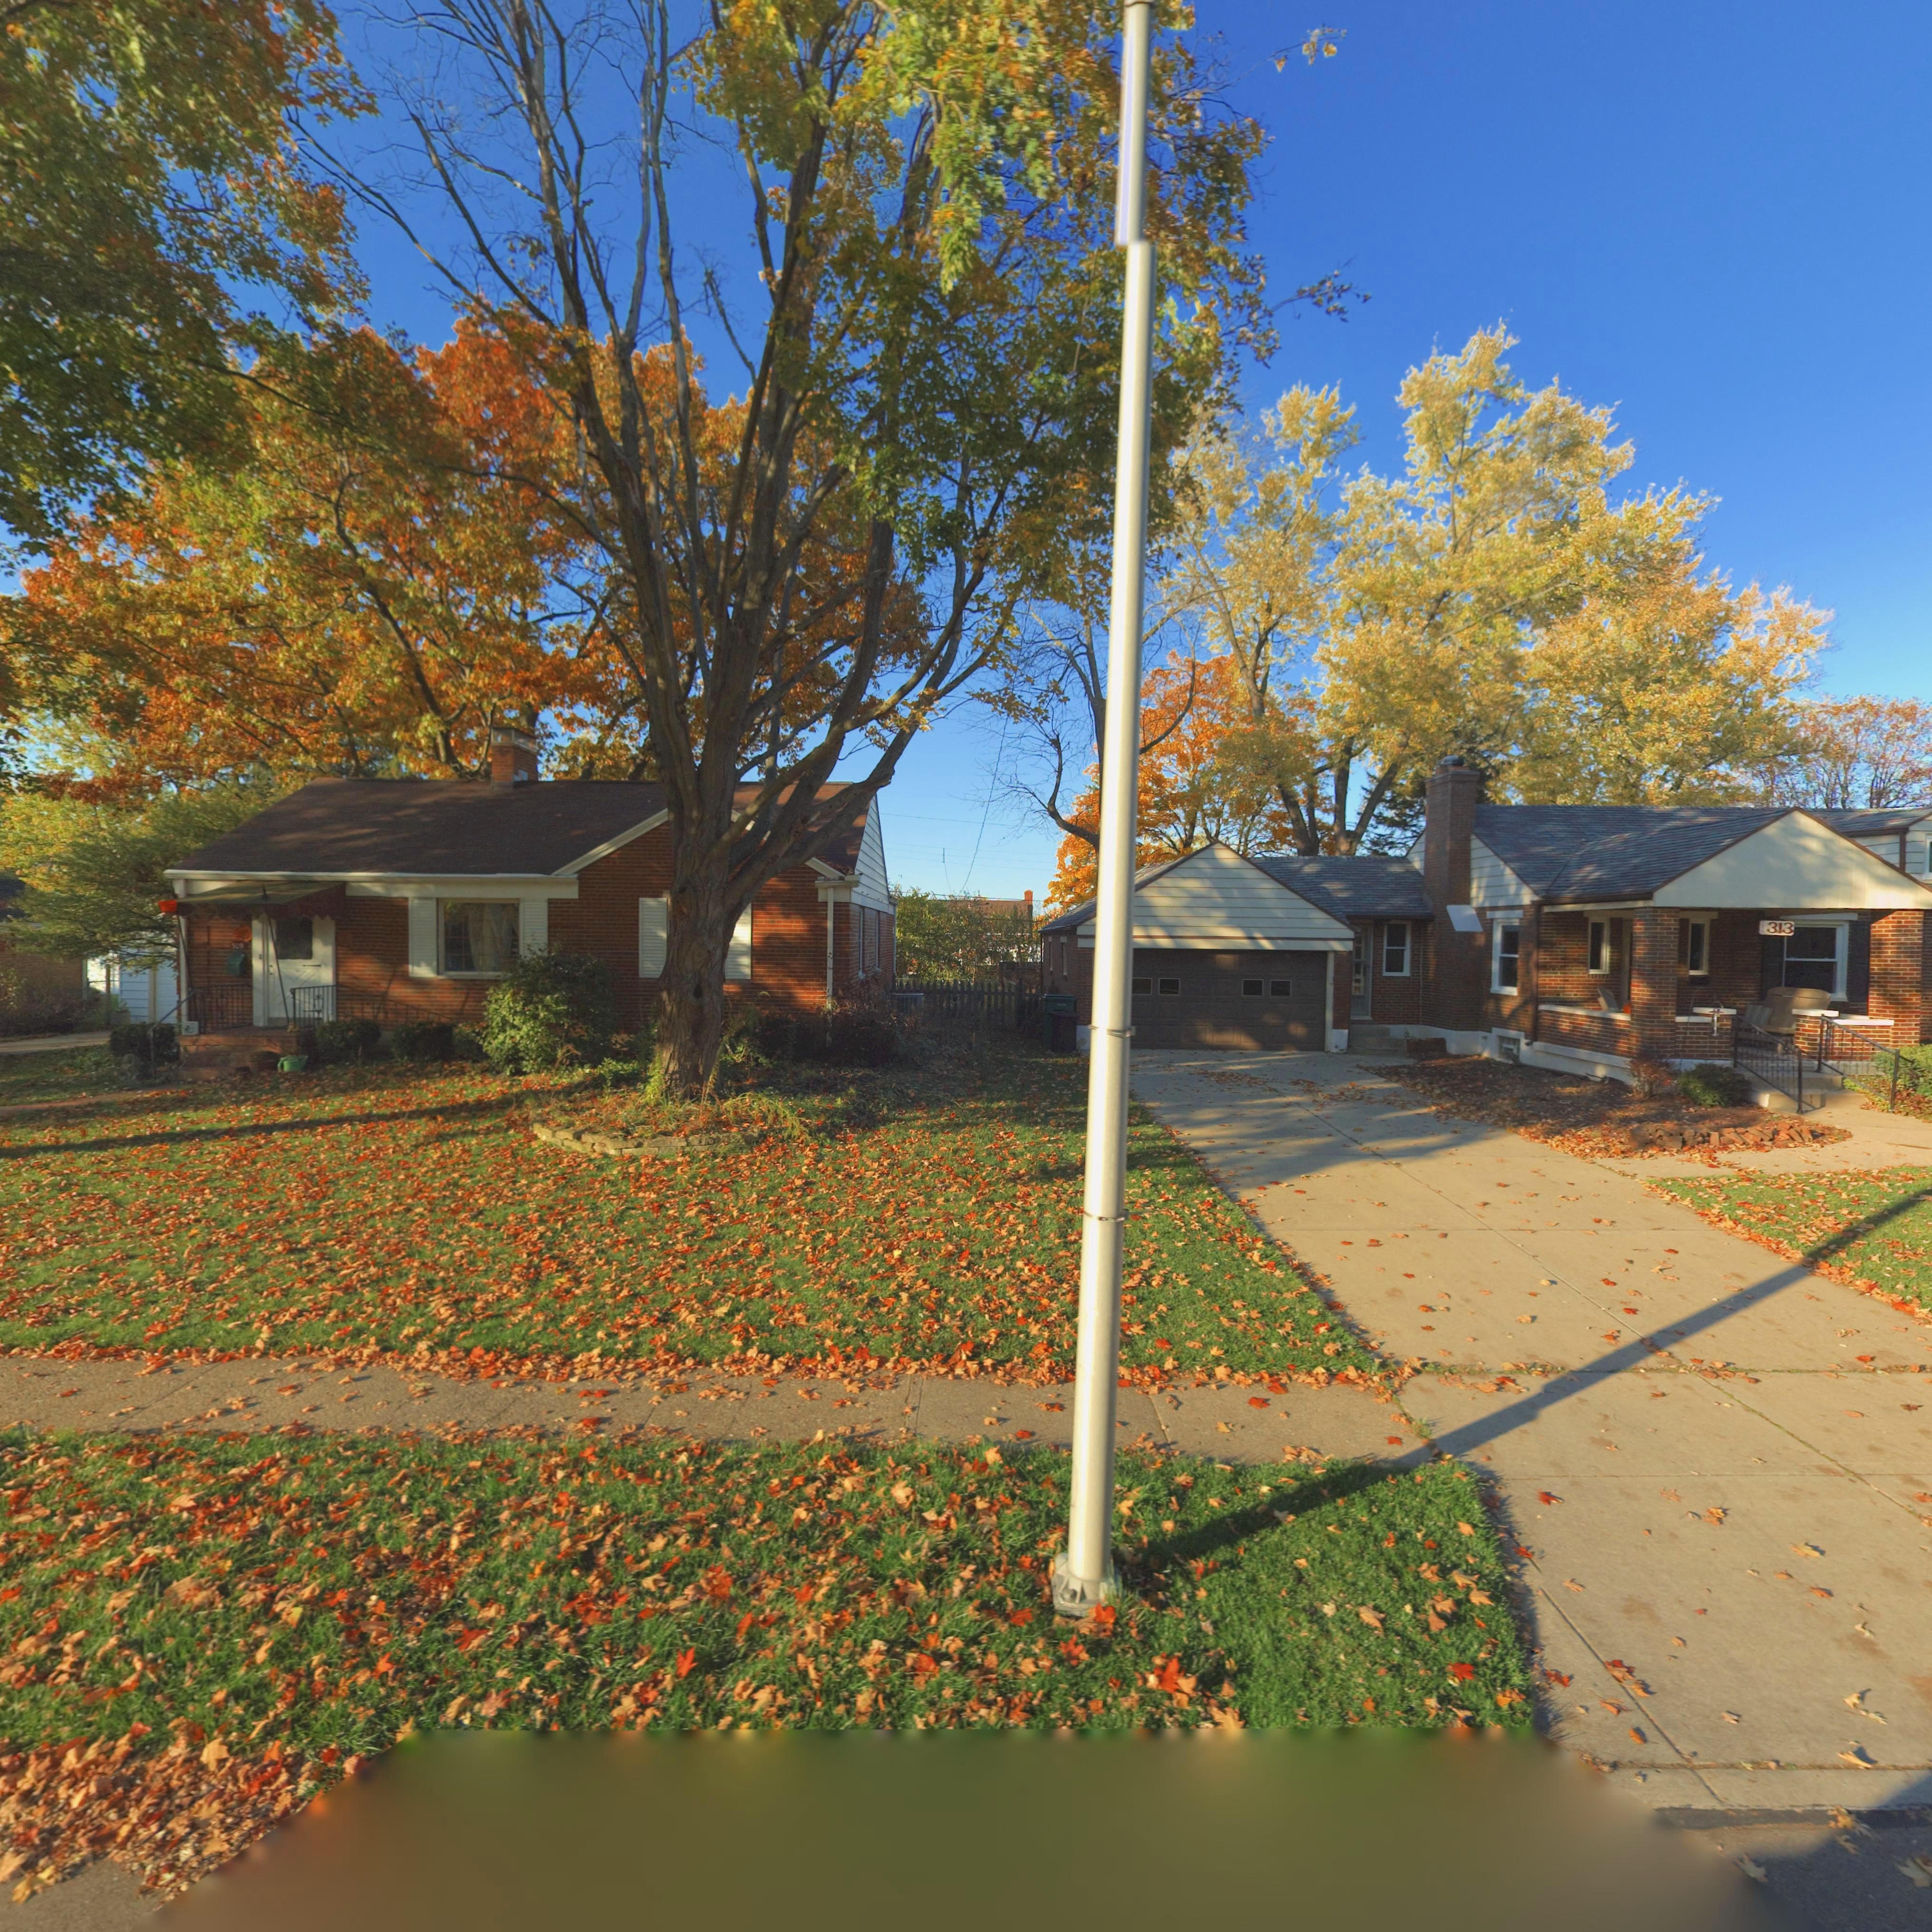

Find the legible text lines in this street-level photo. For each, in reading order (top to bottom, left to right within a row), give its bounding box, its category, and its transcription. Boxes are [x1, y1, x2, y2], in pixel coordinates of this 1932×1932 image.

[1767, 921, 1794, 934] StreetNumber: 313
[231, 942, 244, 949] StreetNumber: 309